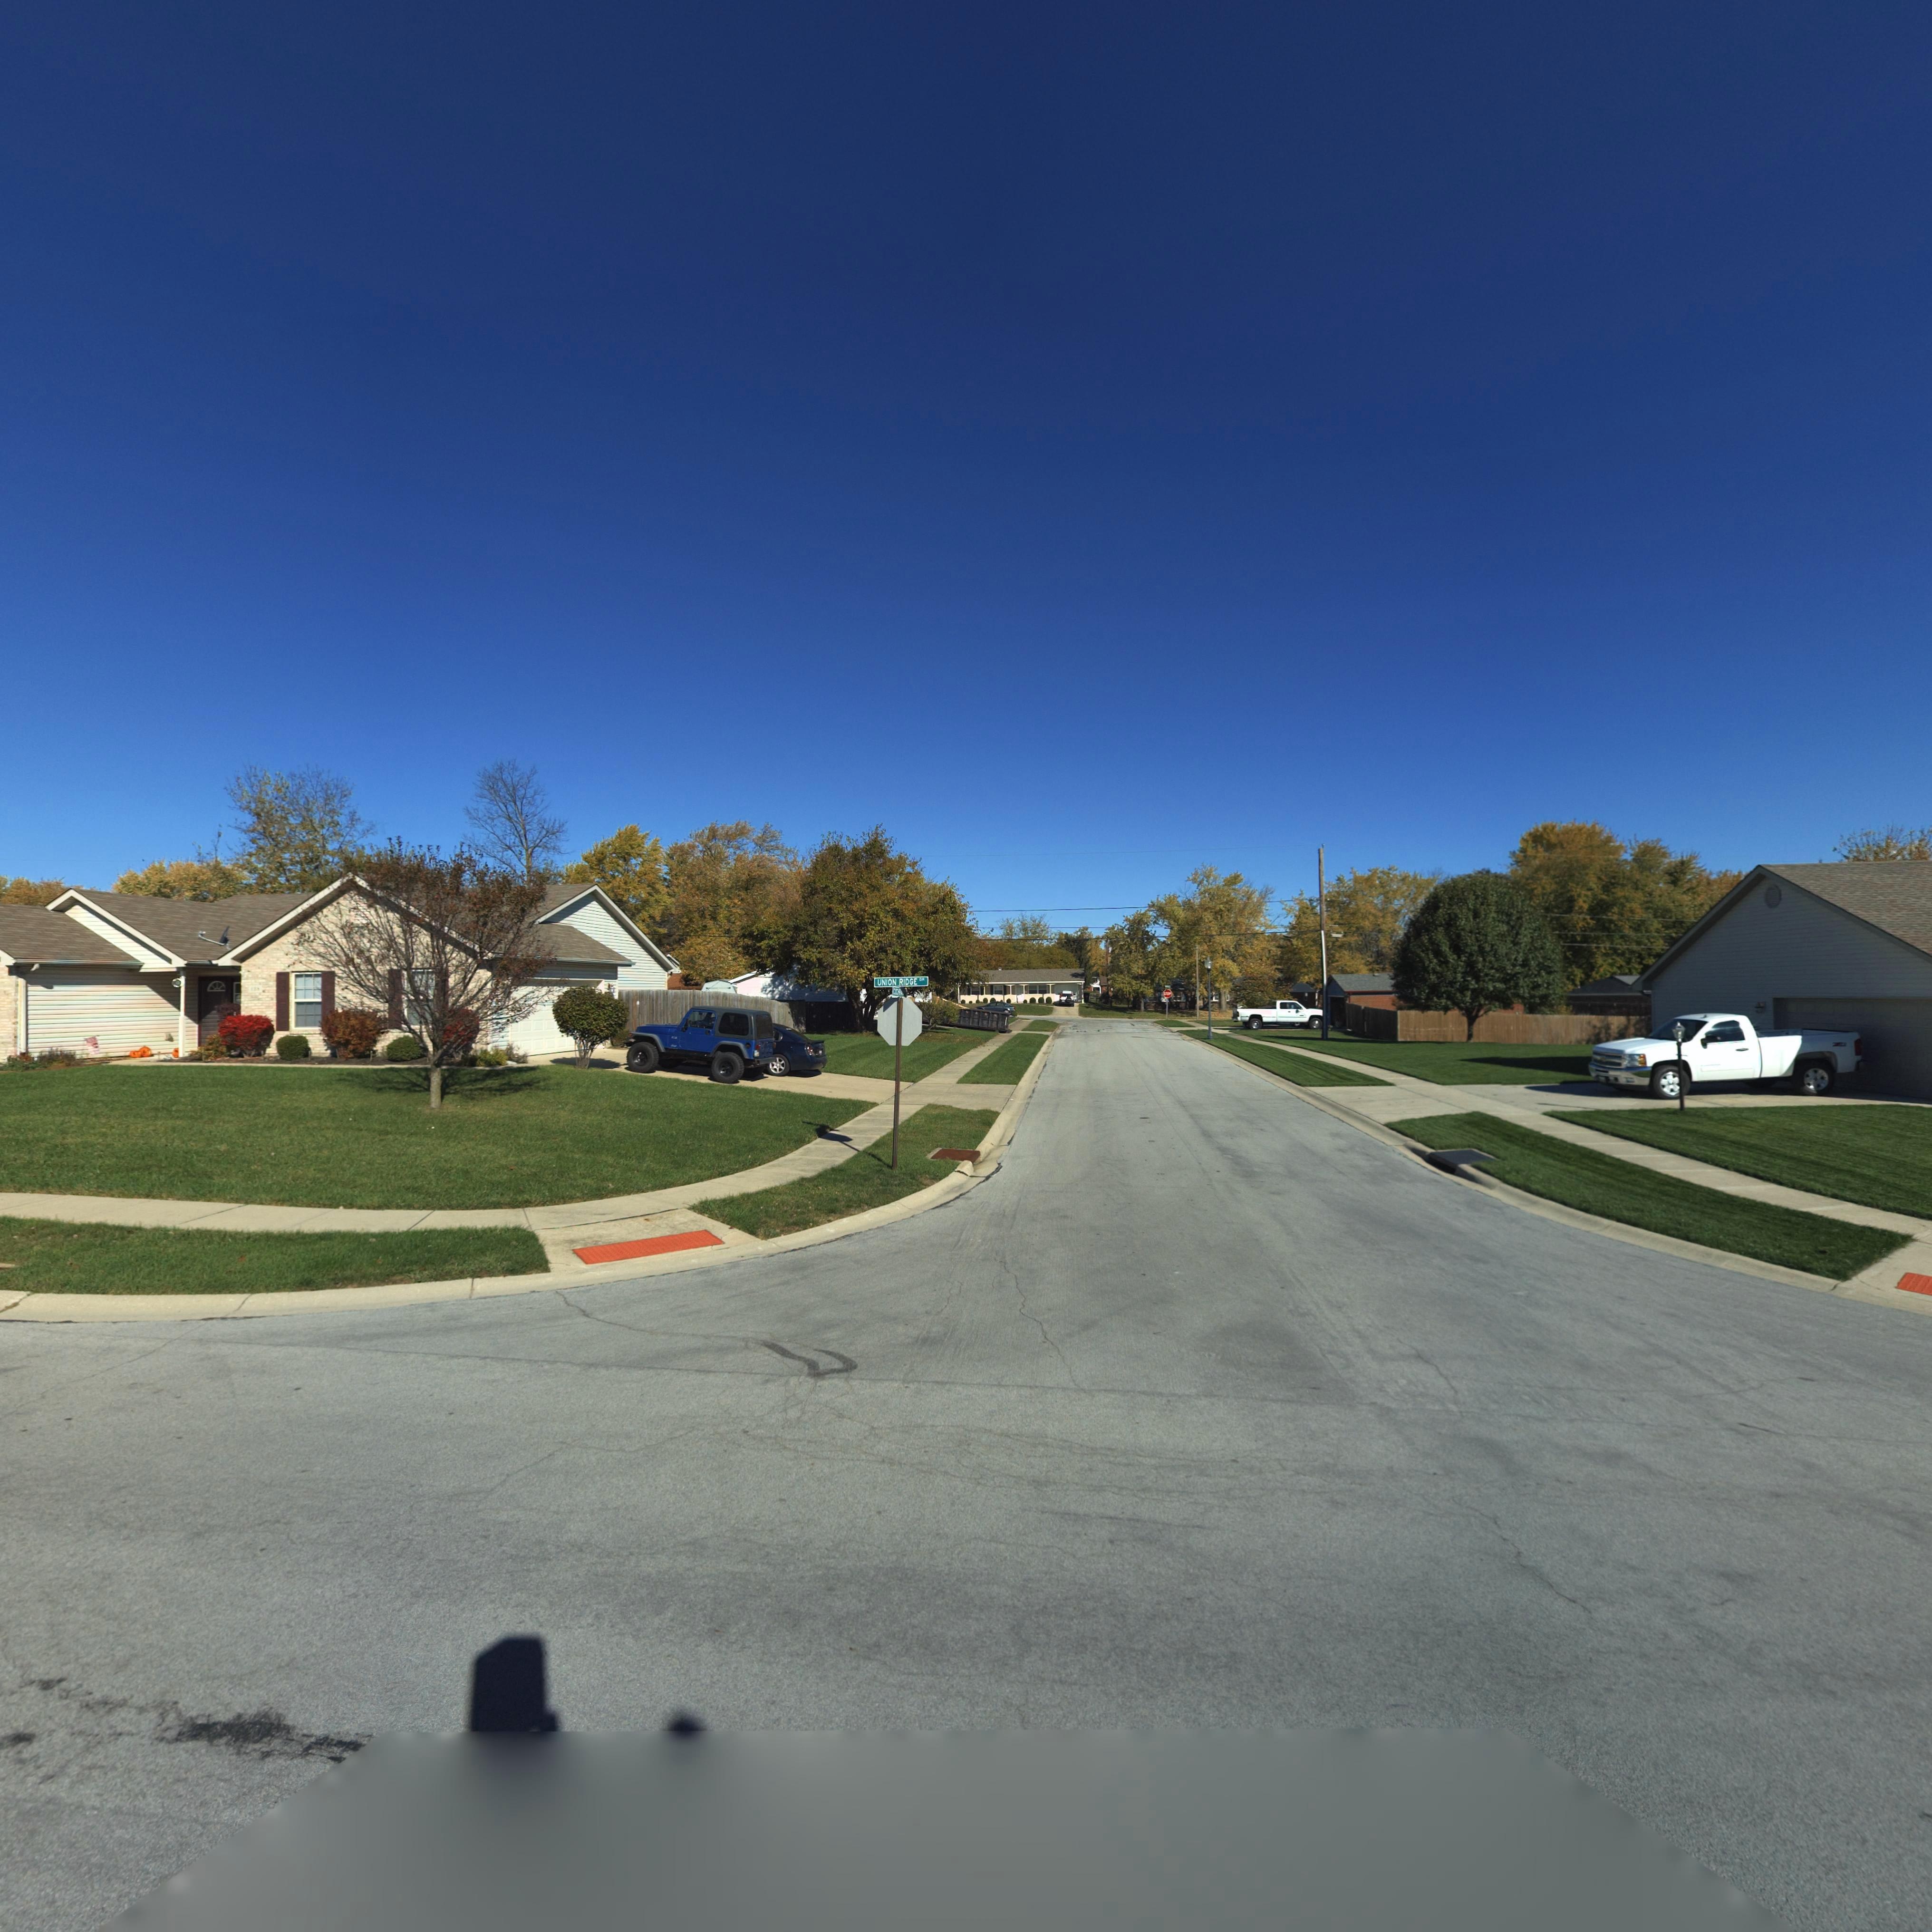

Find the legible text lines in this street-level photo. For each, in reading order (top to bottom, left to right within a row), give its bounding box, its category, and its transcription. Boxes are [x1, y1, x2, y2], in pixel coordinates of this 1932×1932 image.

[875, 977, 919, 985] None: UNION RIDGE
[251, 986, 260, 991] StreetNumber: 1**